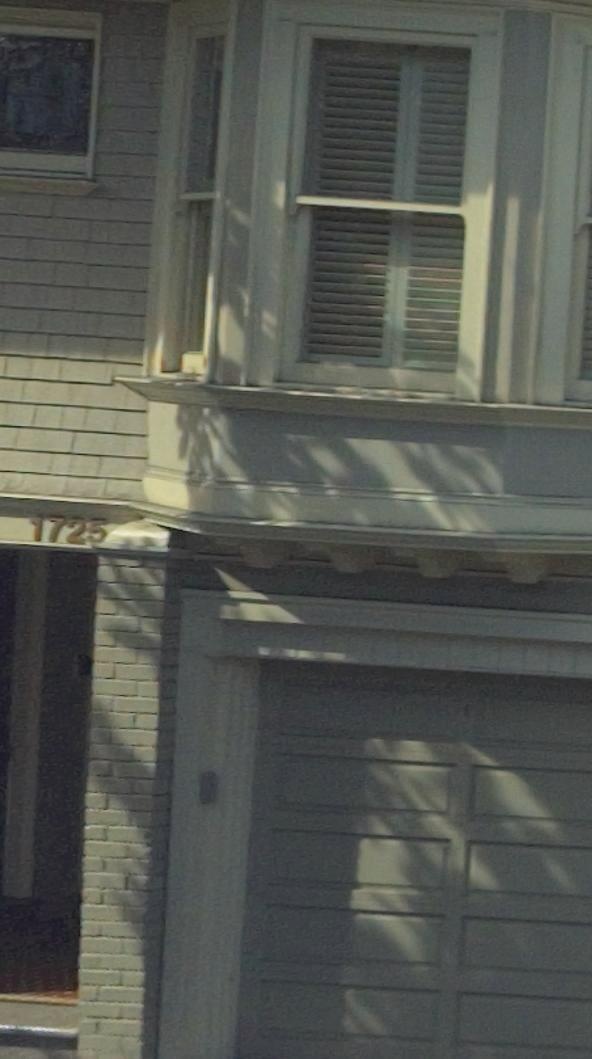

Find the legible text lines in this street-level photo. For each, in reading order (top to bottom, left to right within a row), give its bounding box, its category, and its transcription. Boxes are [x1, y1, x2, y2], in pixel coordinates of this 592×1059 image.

[30, 513, 110, 545] StreetNumber: 1725